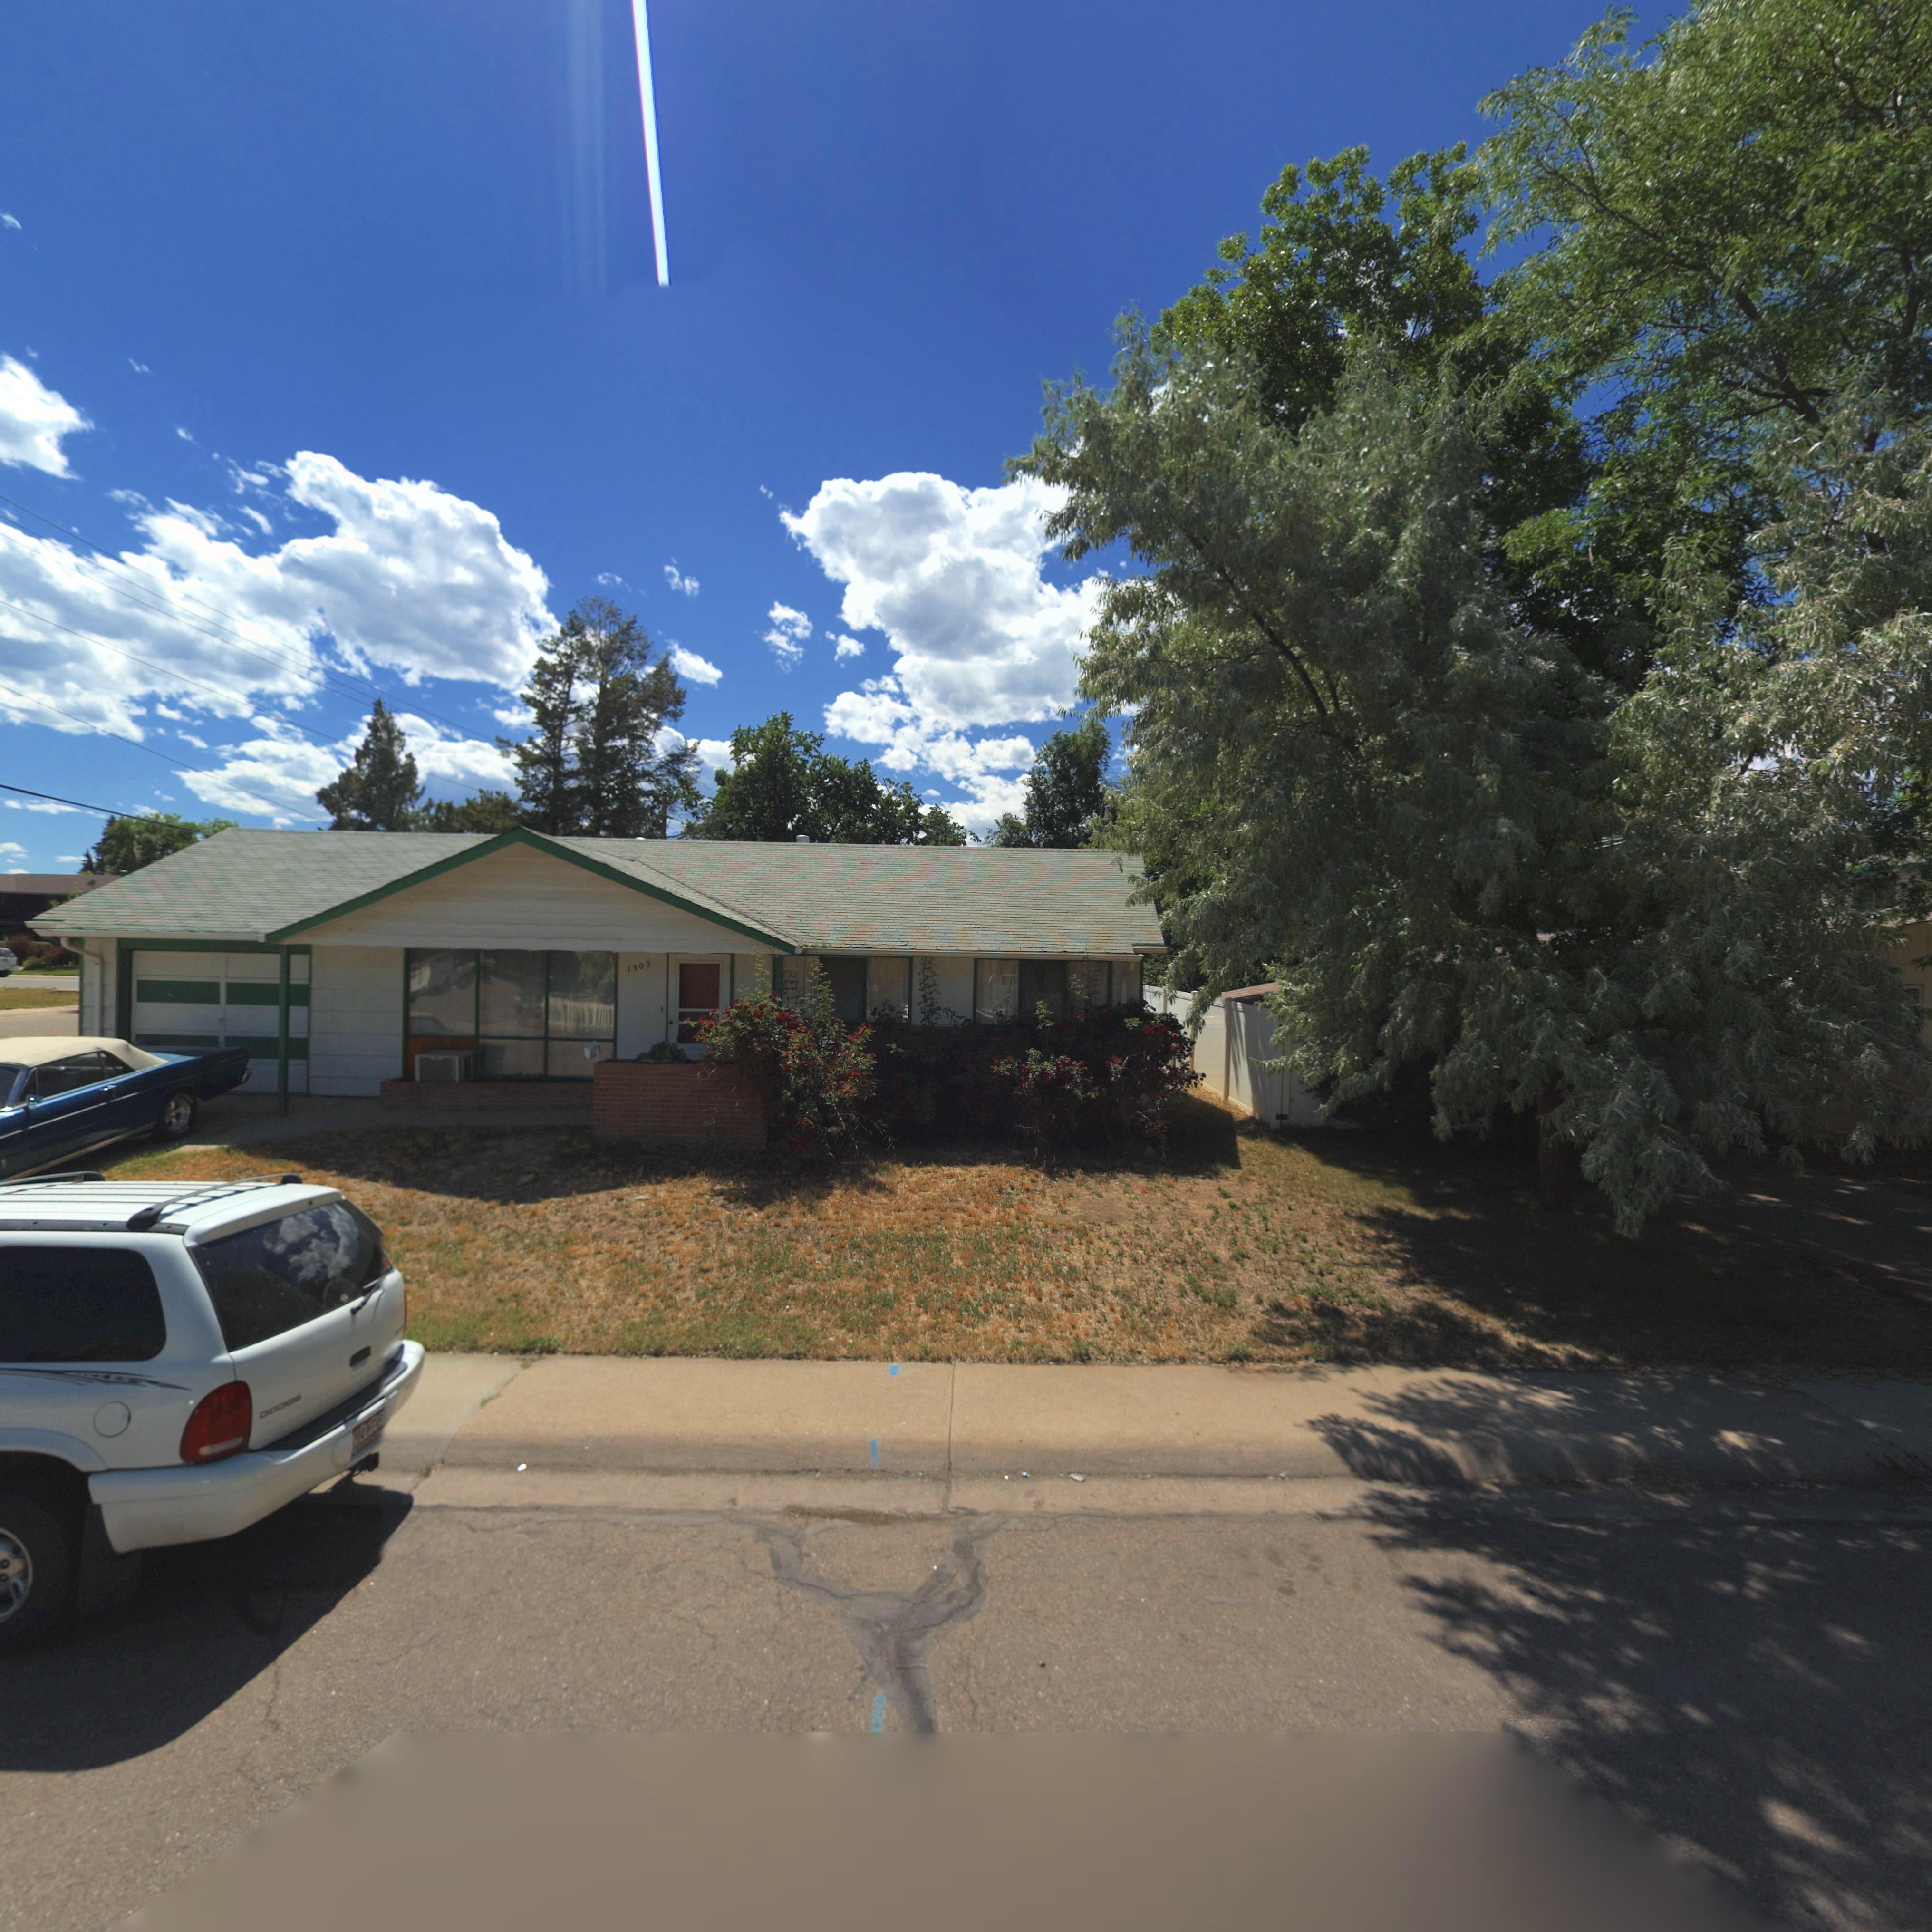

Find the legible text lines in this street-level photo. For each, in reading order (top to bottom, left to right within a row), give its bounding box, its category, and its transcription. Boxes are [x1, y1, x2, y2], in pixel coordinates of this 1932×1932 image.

[627, 960, 651, 973] StreetNumber: 1503